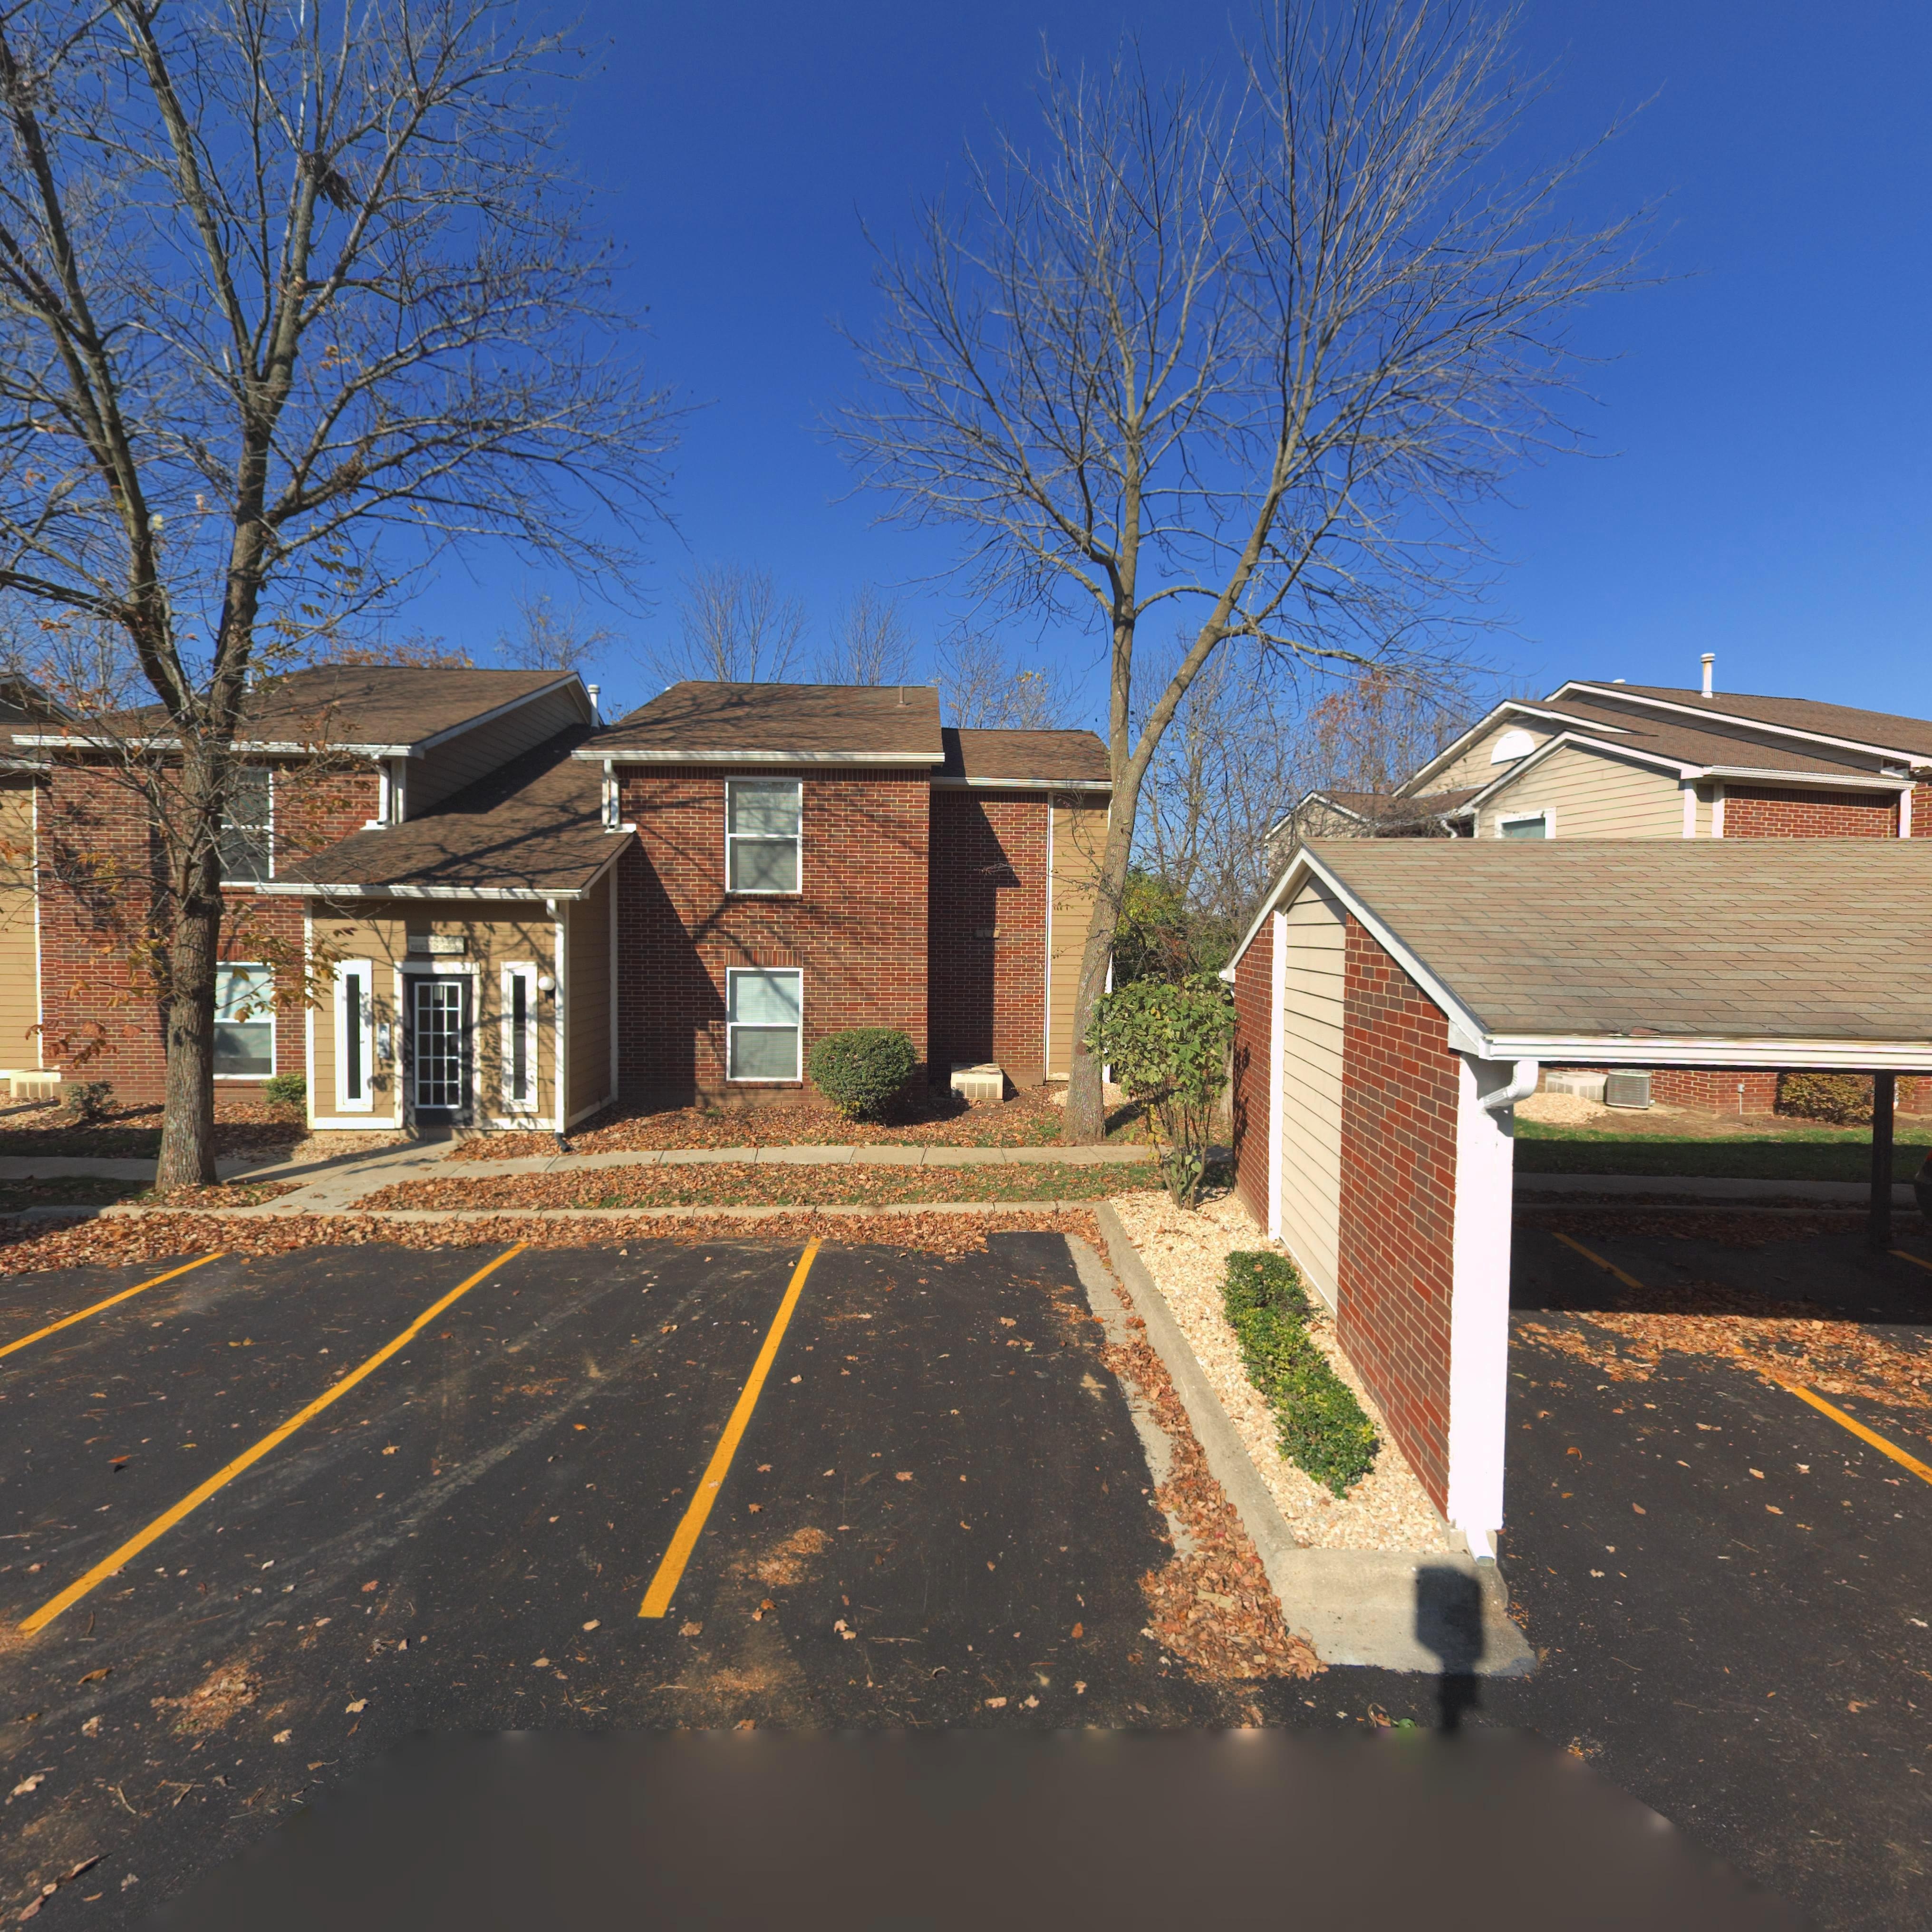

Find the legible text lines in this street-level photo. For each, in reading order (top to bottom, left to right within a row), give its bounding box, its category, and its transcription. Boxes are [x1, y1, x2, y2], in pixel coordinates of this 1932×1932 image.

[432, 937, 440, 946] StreetNumber: 5